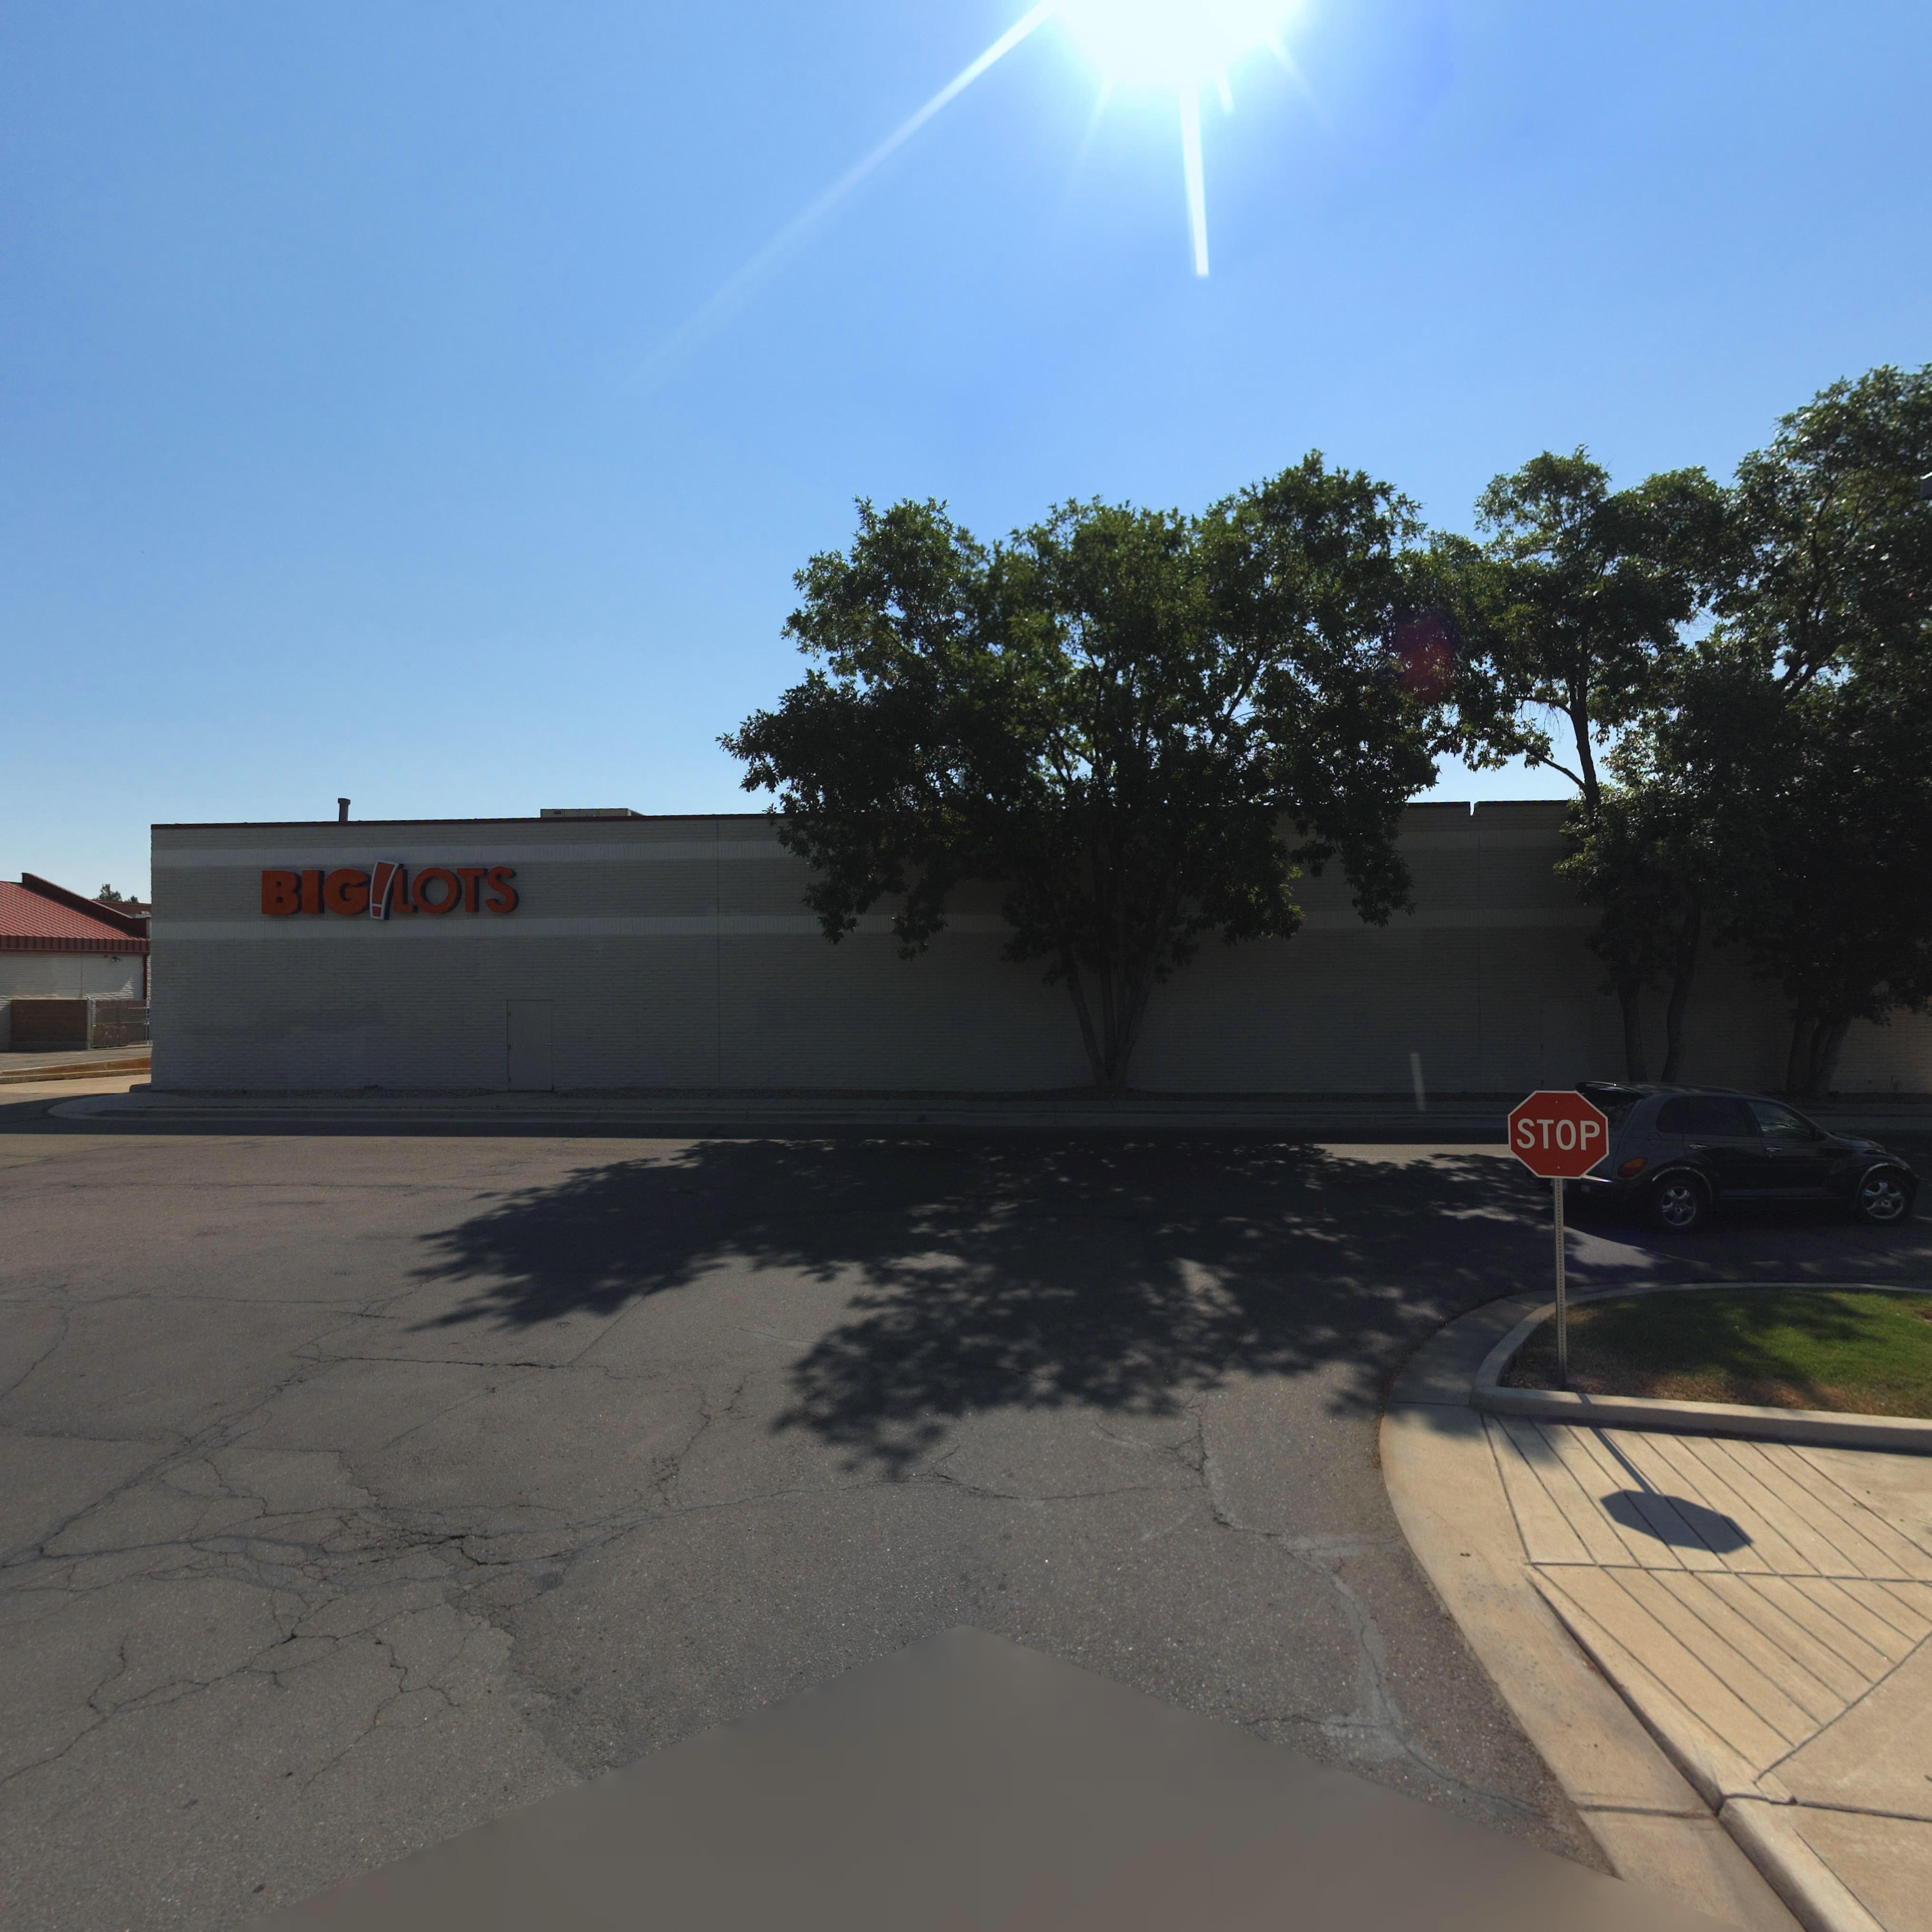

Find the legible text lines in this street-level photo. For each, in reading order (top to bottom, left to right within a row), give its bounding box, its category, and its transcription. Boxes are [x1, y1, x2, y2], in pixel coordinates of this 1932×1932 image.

[261, 860, 516, 918] BusinessName: BIG*LOTS